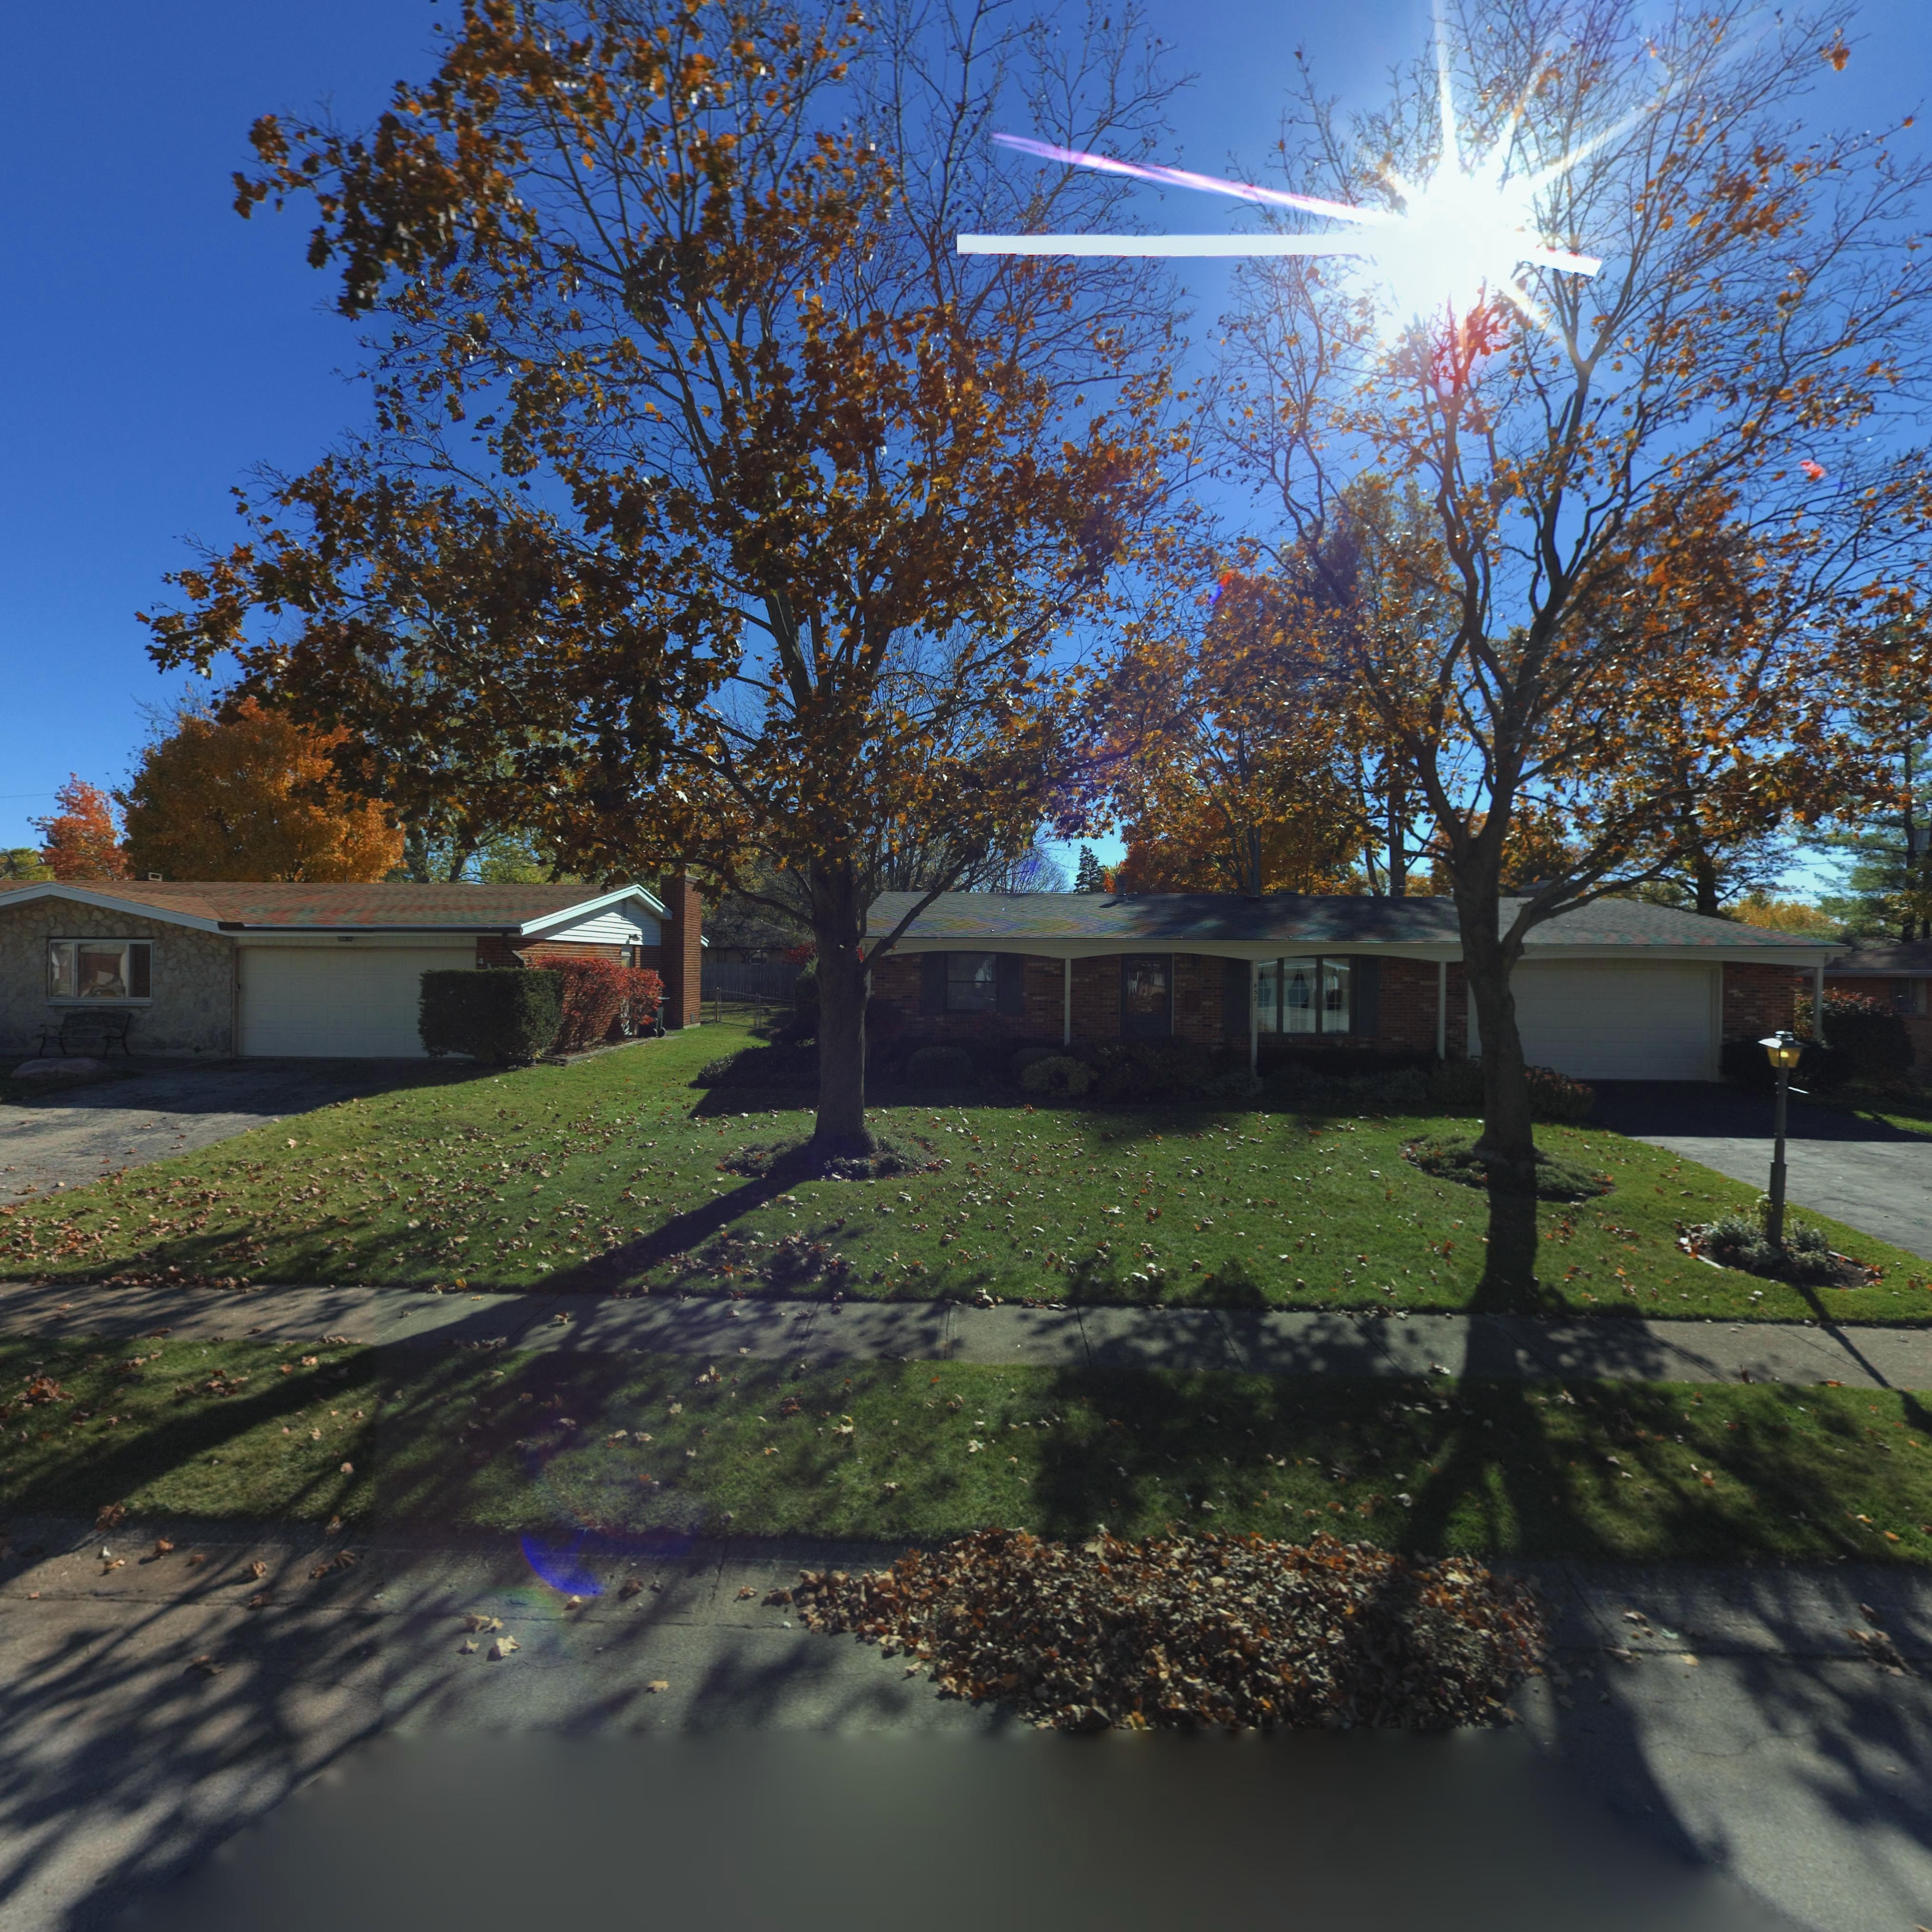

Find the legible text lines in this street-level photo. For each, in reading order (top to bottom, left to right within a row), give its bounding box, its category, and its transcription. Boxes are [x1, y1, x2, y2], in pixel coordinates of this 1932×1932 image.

[475, 956, 493, 972] StreetNumber: 4*
[1253, 982, 1258, 1002] StreetNumber: 432